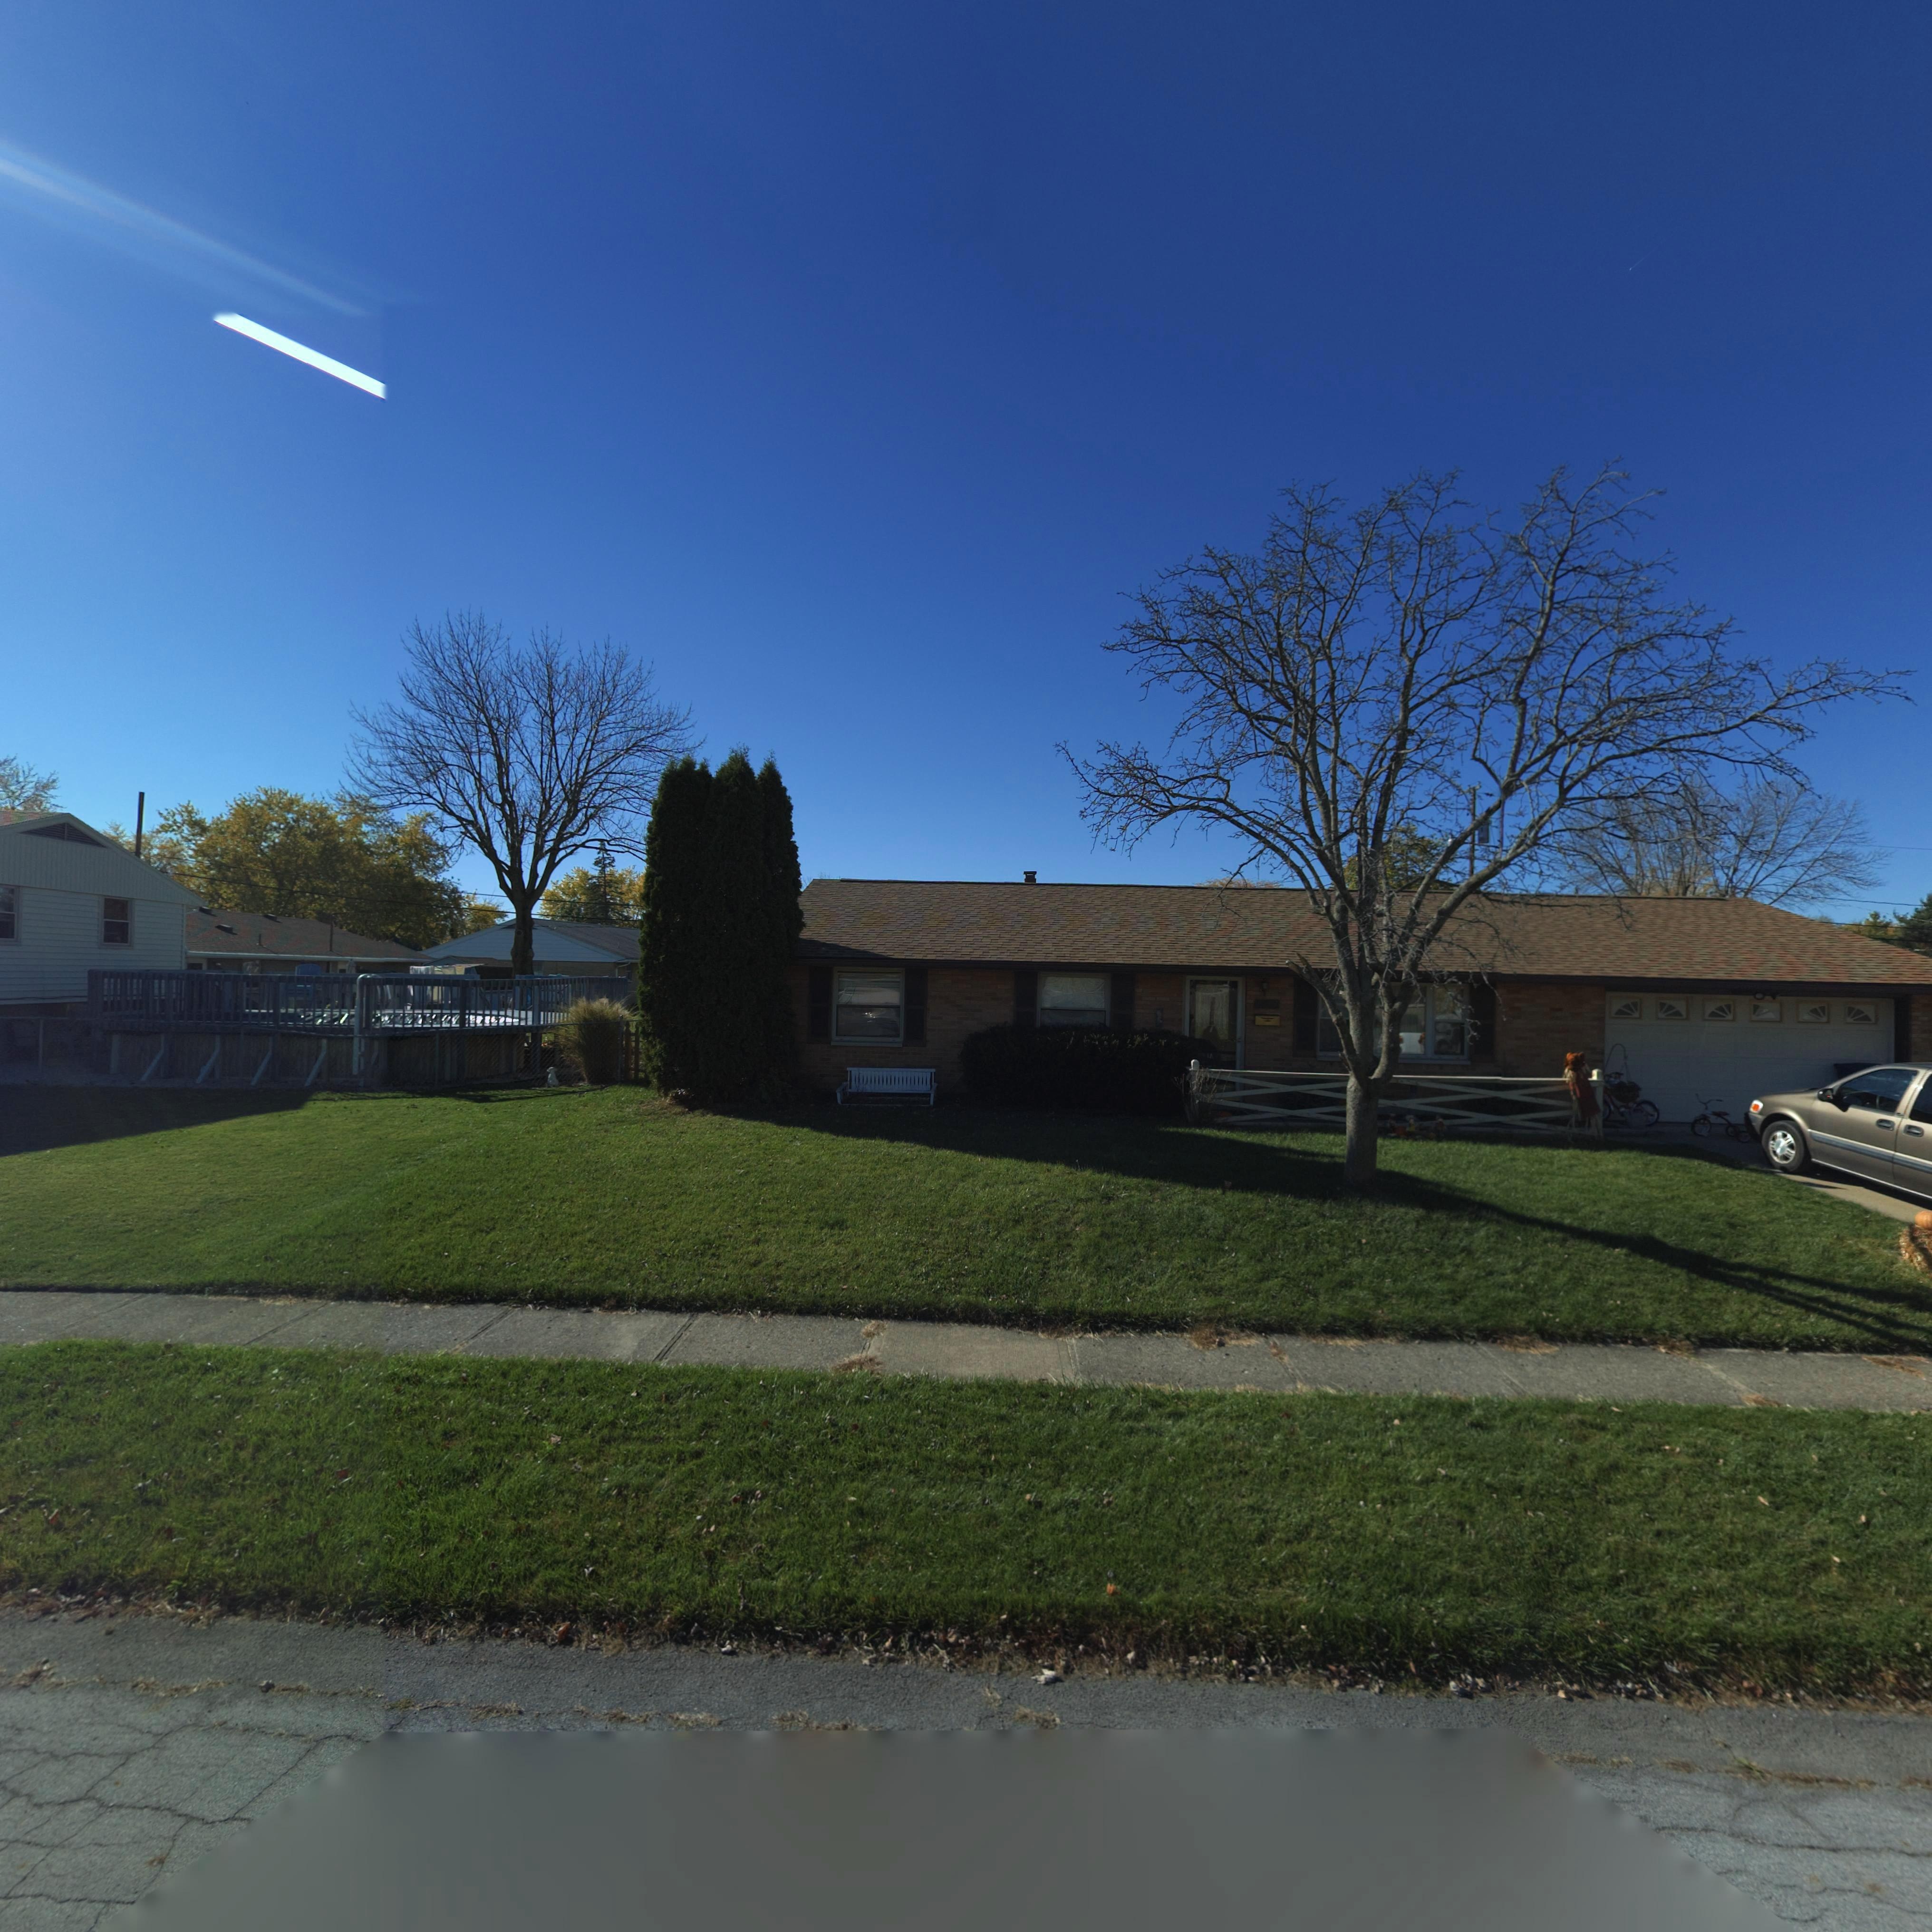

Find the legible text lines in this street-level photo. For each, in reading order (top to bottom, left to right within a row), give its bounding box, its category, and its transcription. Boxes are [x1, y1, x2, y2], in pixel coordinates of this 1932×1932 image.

[1156, 1010, 1162, 1017] StreetNumber: 6